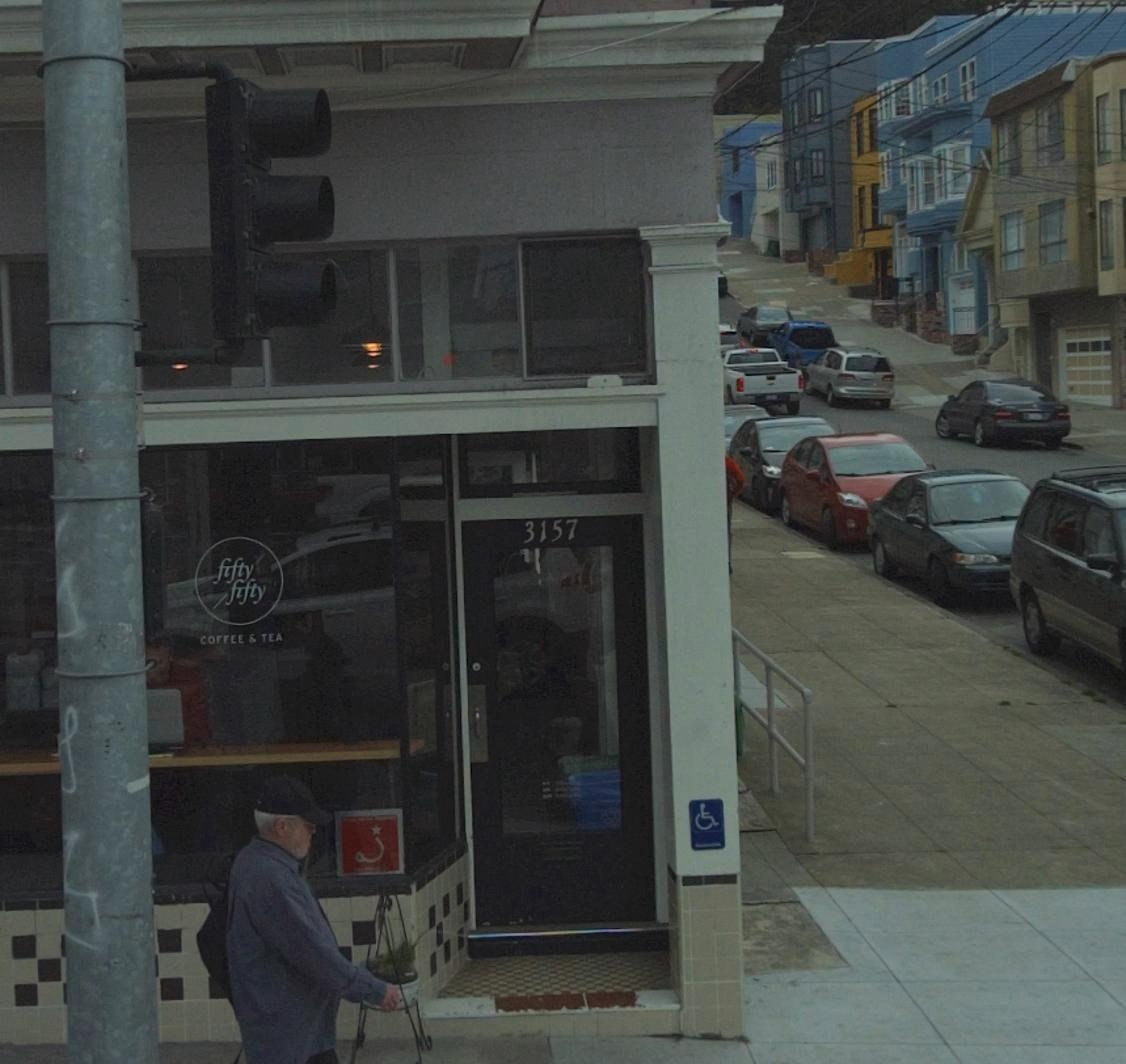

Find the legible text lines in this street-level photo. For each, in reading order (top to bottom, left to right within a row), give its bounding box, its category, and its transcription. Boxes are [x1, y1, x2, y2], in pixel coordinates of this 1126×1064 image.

[523, 516, 579, 543] StreetNumber: 3157
[211, 556, 255, 585] BusinessName: fifty
[224, 578, 267, 607] BusinessName: fifty
[199, 631, 283, 647] BusinessName: COFFEE & TEA